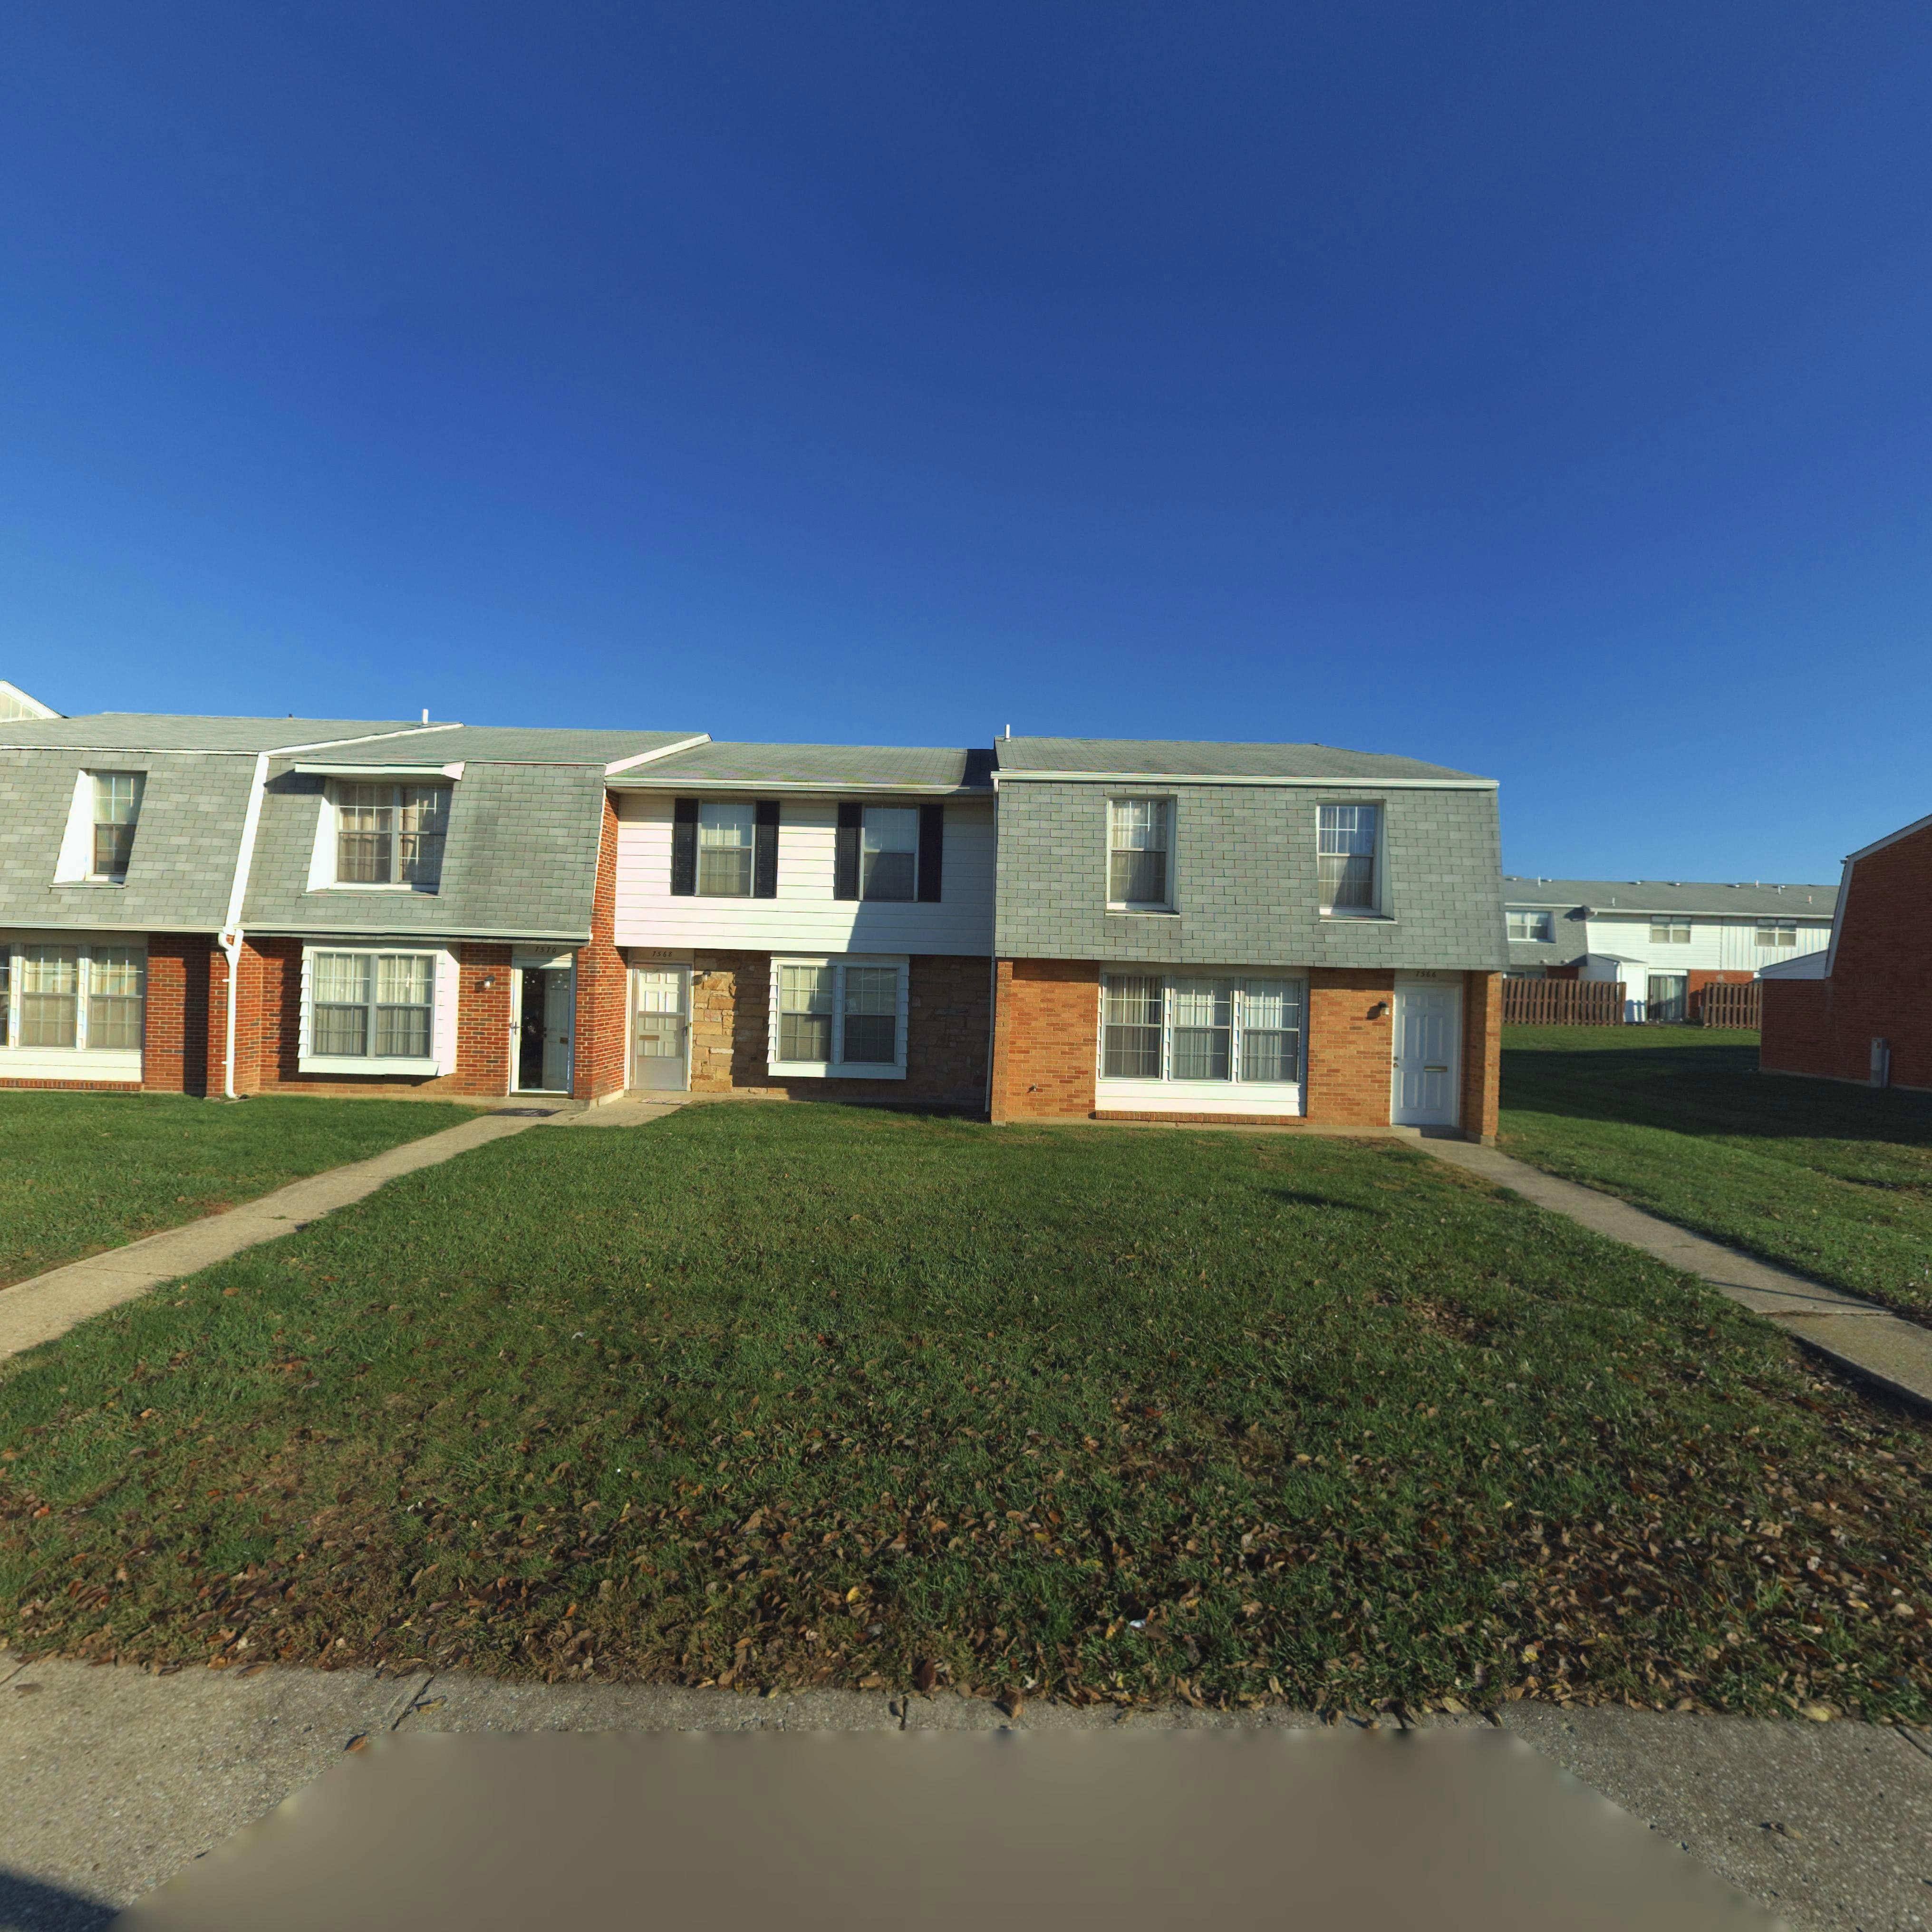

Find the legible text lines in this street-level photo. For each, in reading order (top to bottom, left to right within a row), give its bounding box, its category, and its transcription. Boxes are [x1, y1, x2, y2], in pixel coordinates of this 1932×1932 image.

[534, 945, 557, 954] StreetNumber: 7570
[651, 950, 674, 958] StreetNumber: 7568
[1415, 970, 1437, 978] StreetNumber: 7566